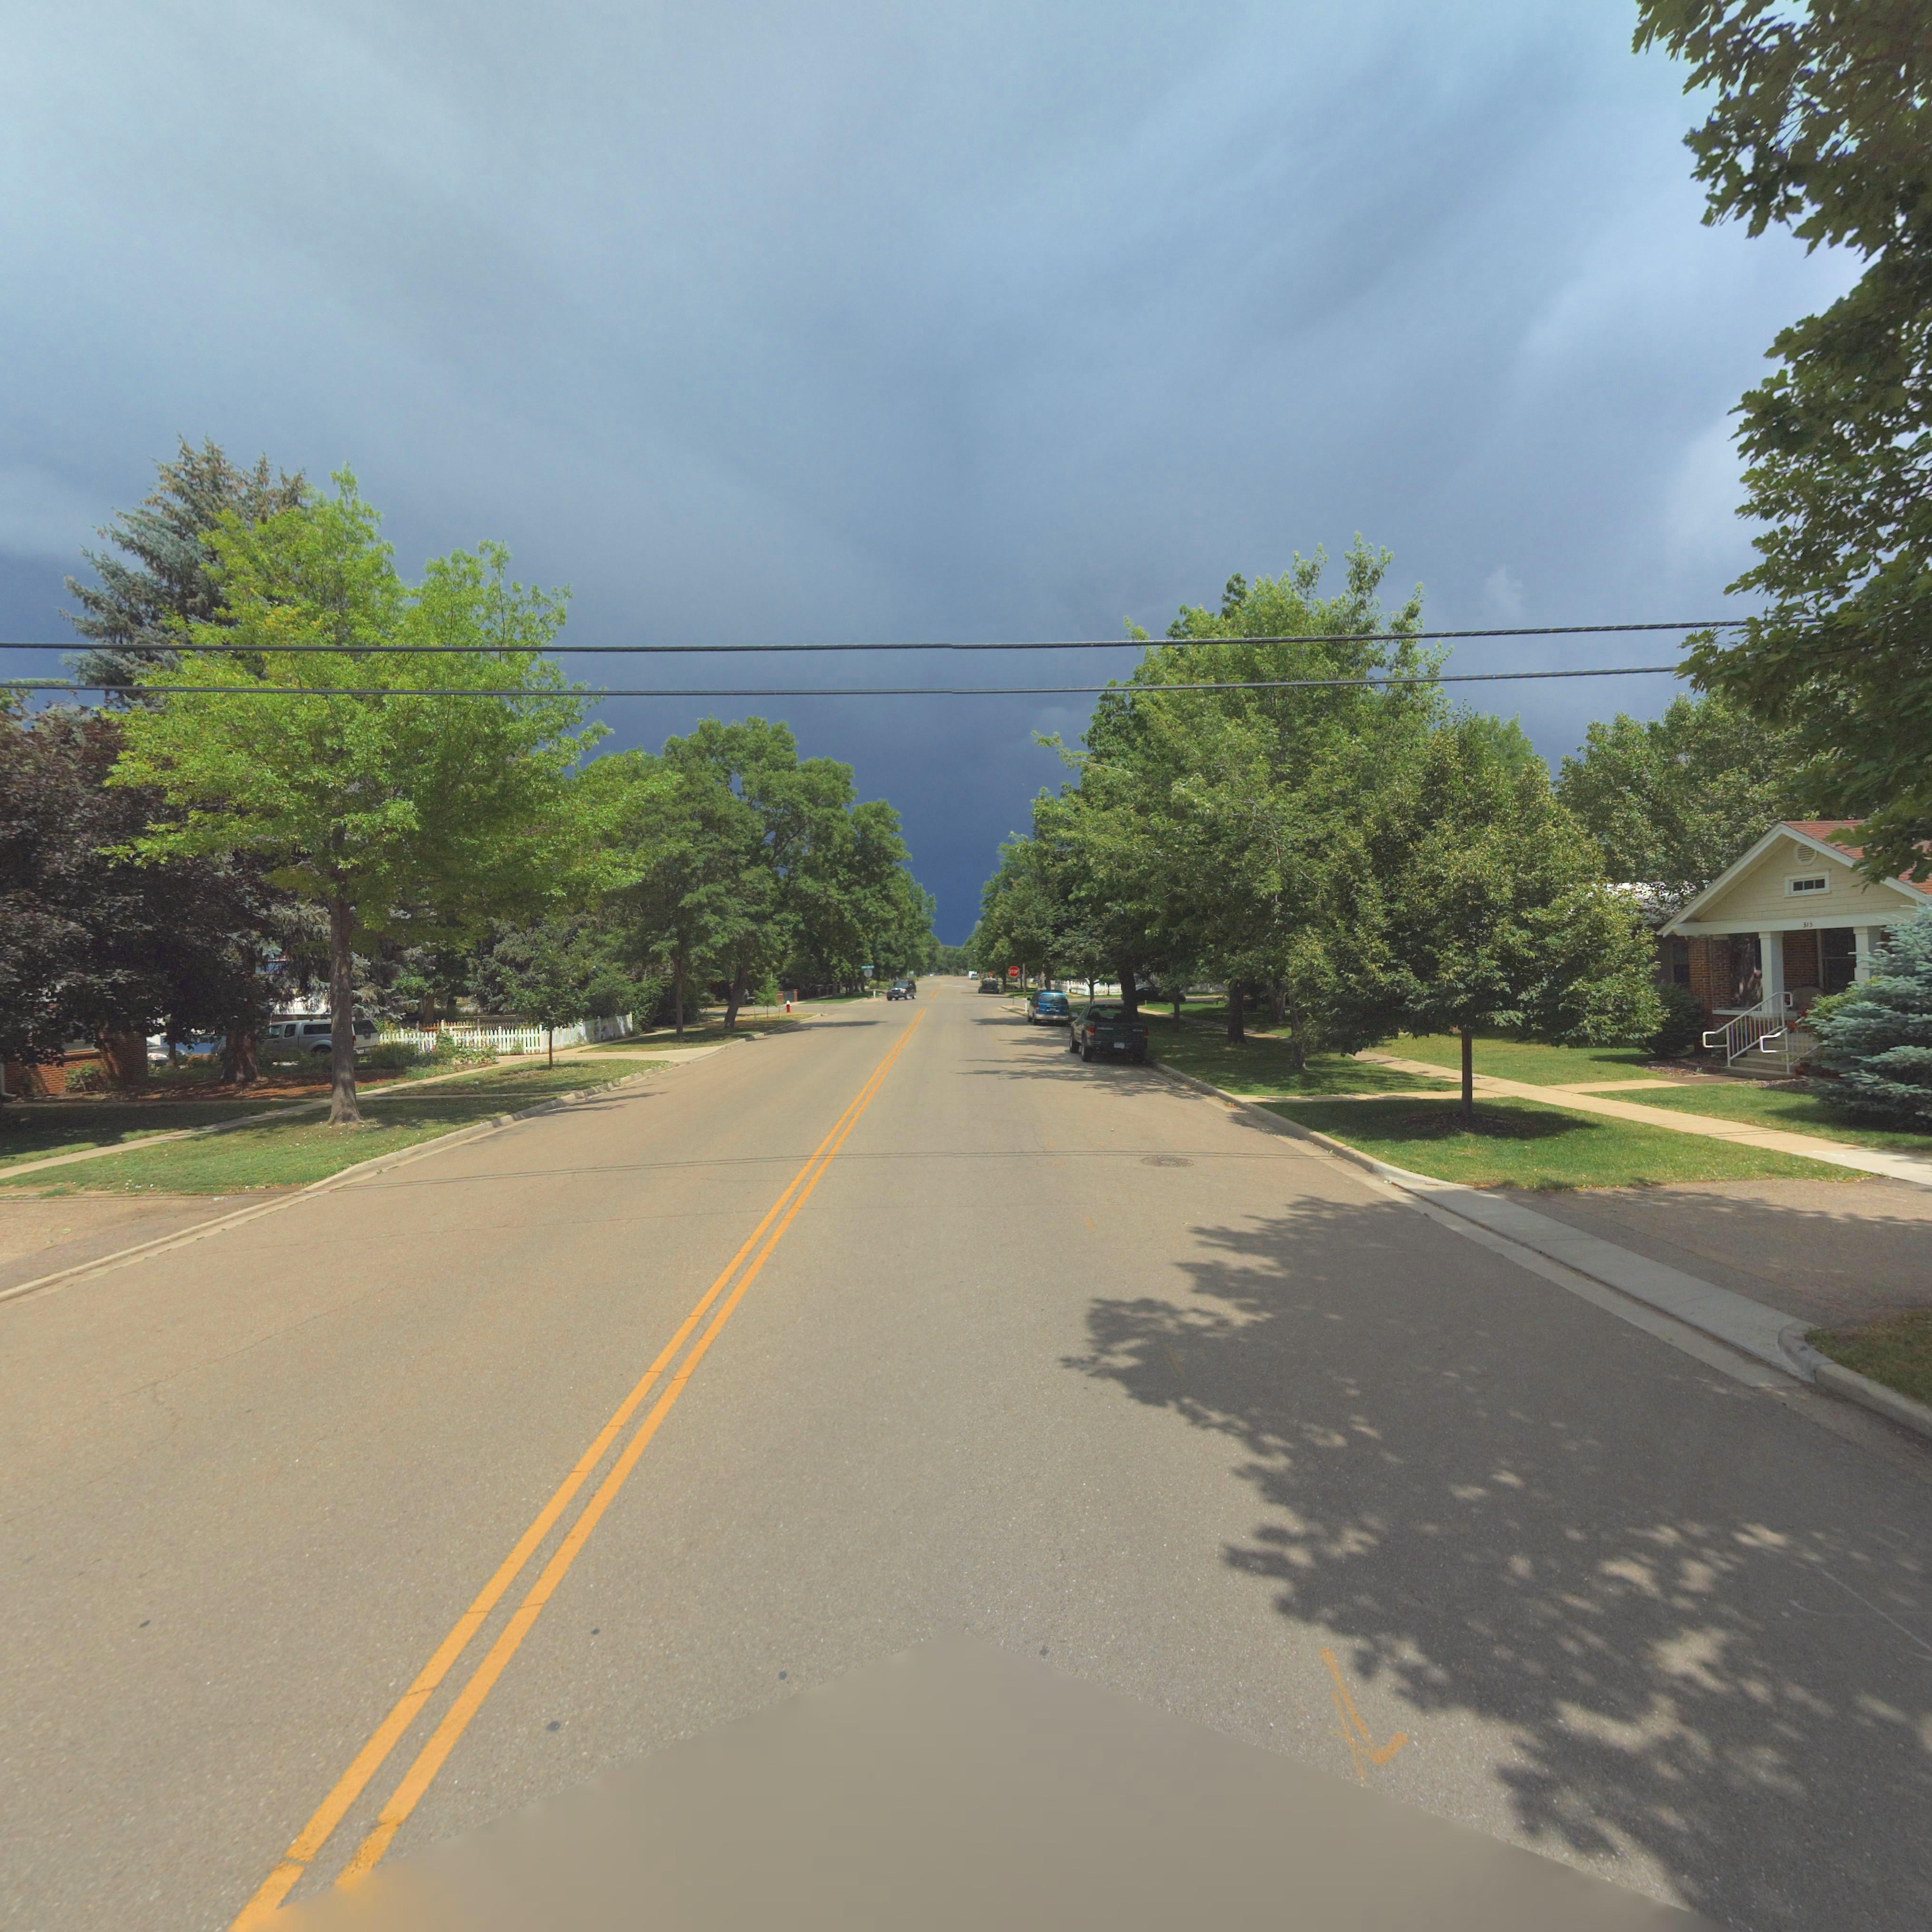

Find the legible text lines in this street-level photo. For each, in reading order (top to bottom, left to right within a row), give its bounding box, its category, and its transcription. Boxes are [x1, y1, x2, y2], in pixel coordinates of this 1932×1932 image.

[1802, 920, 1813, 928] StreetNumber: 315